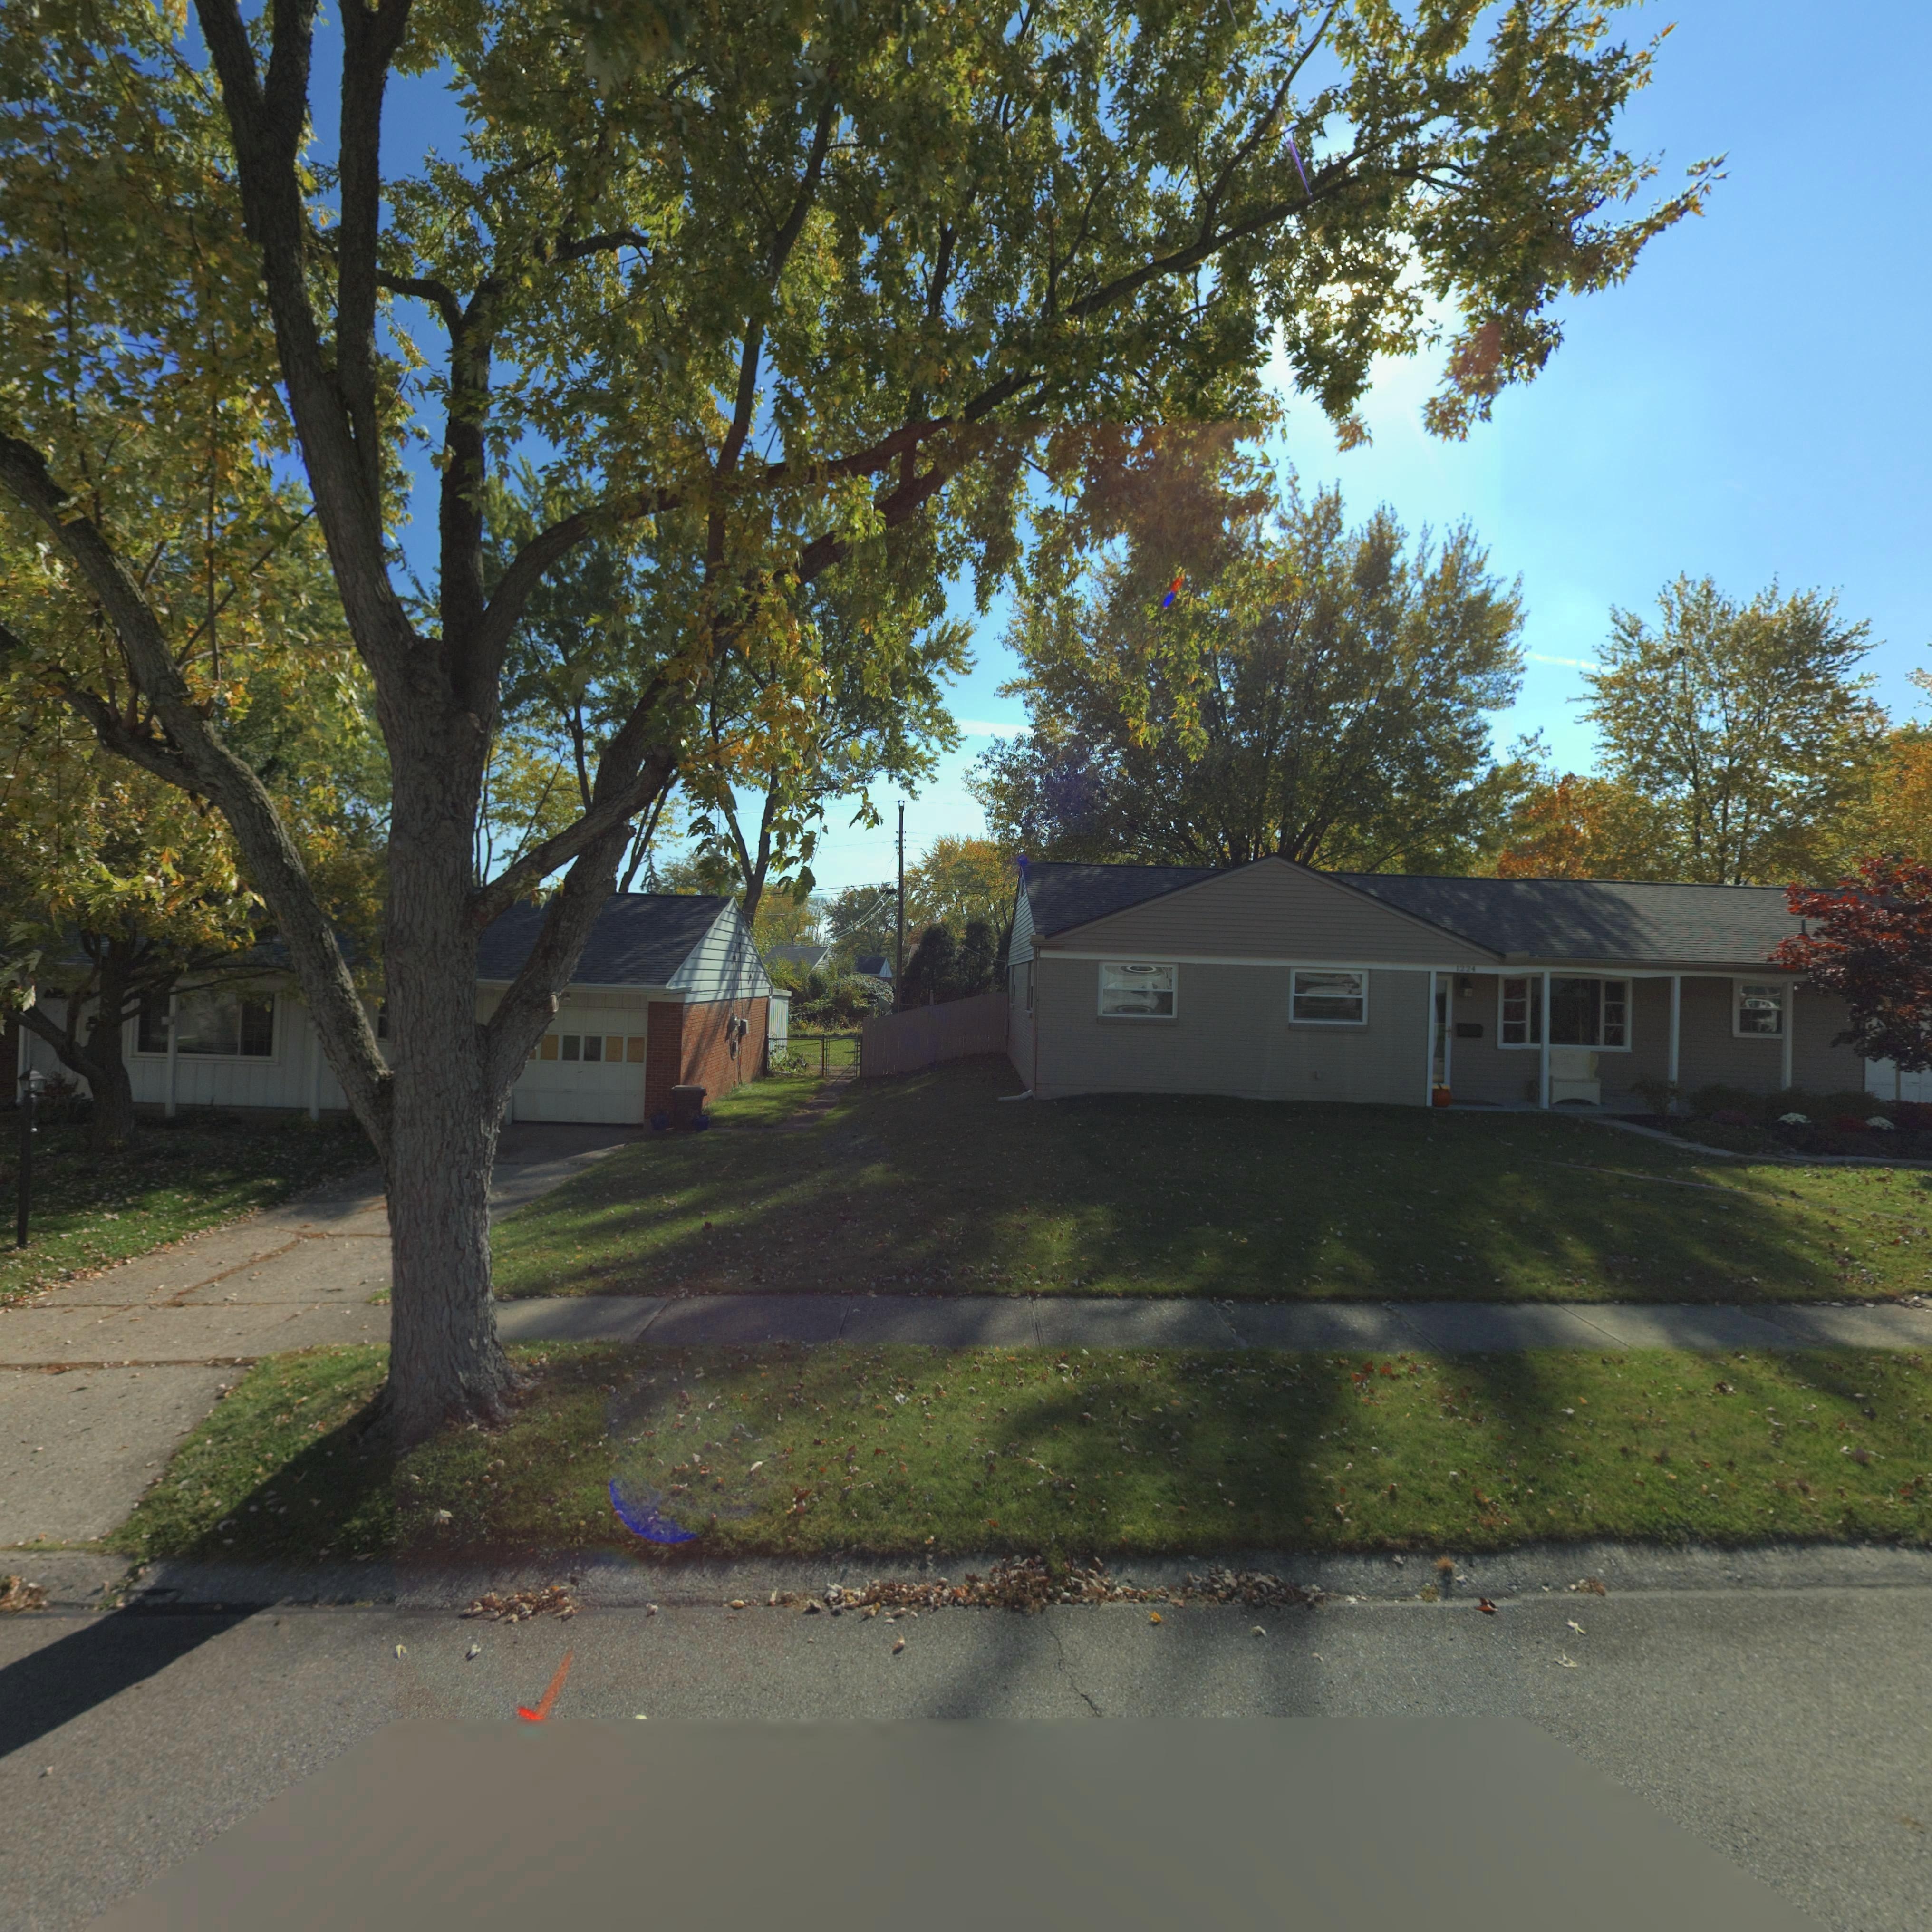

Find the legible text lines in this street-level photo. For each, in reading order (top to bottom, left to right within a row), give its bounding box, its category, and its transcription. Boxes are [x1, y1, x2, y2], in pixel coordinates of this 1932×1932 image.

[1455, 964, 1476, 973] StreetNumber: 1224